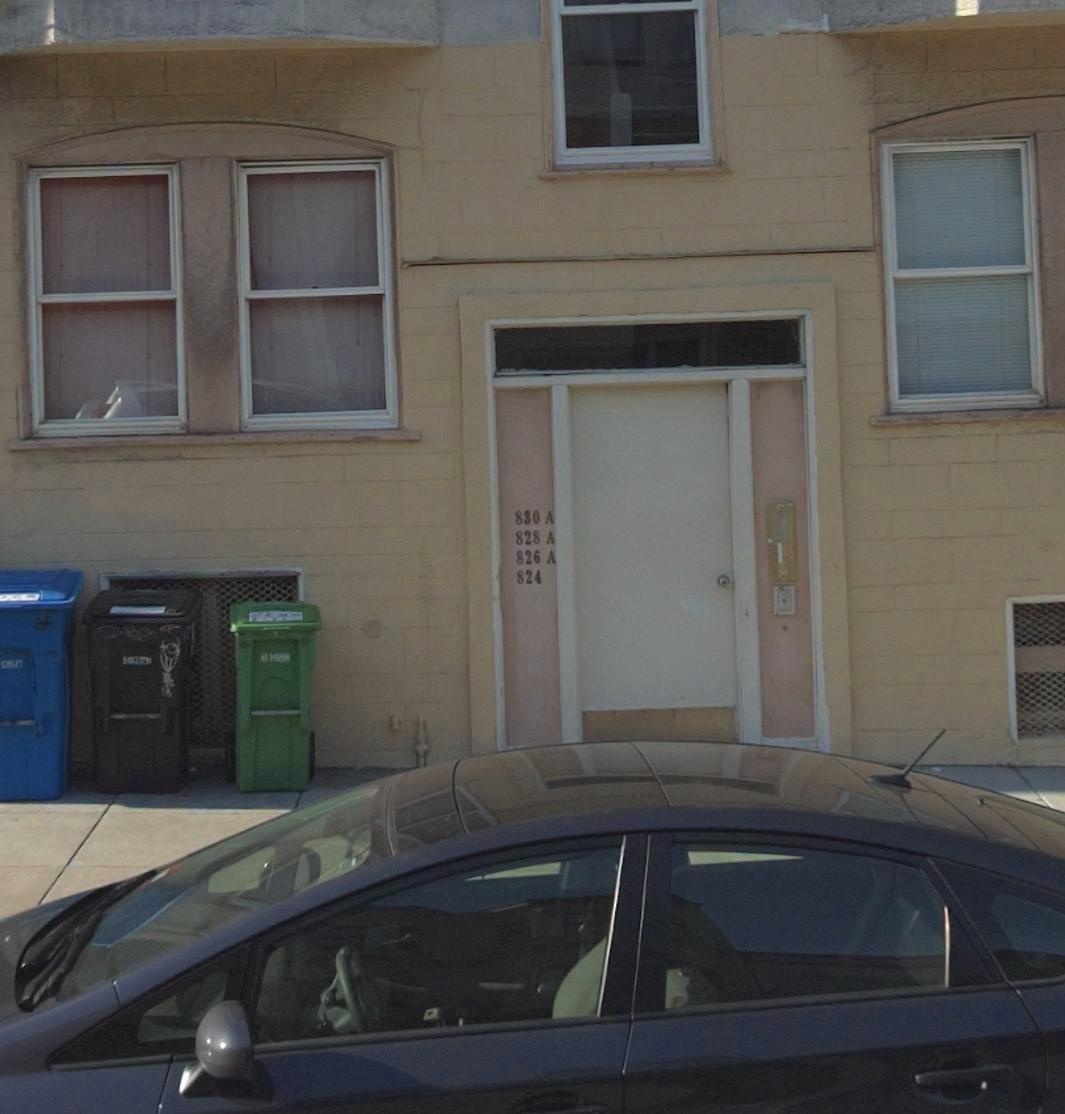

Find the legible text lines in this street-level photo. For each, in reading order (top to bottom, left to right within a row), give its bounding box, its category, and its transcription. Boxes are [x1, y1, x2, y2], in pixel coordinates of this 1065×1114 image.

[512, 508, 556, 526] StreetNumber: 830 A
[510, 526, 554, 546] StreetNumber: 828 A
[512, 546, 555, 565] StreetNumber: 826 A
[514, 567, 543, 585] StreetNumber: 824